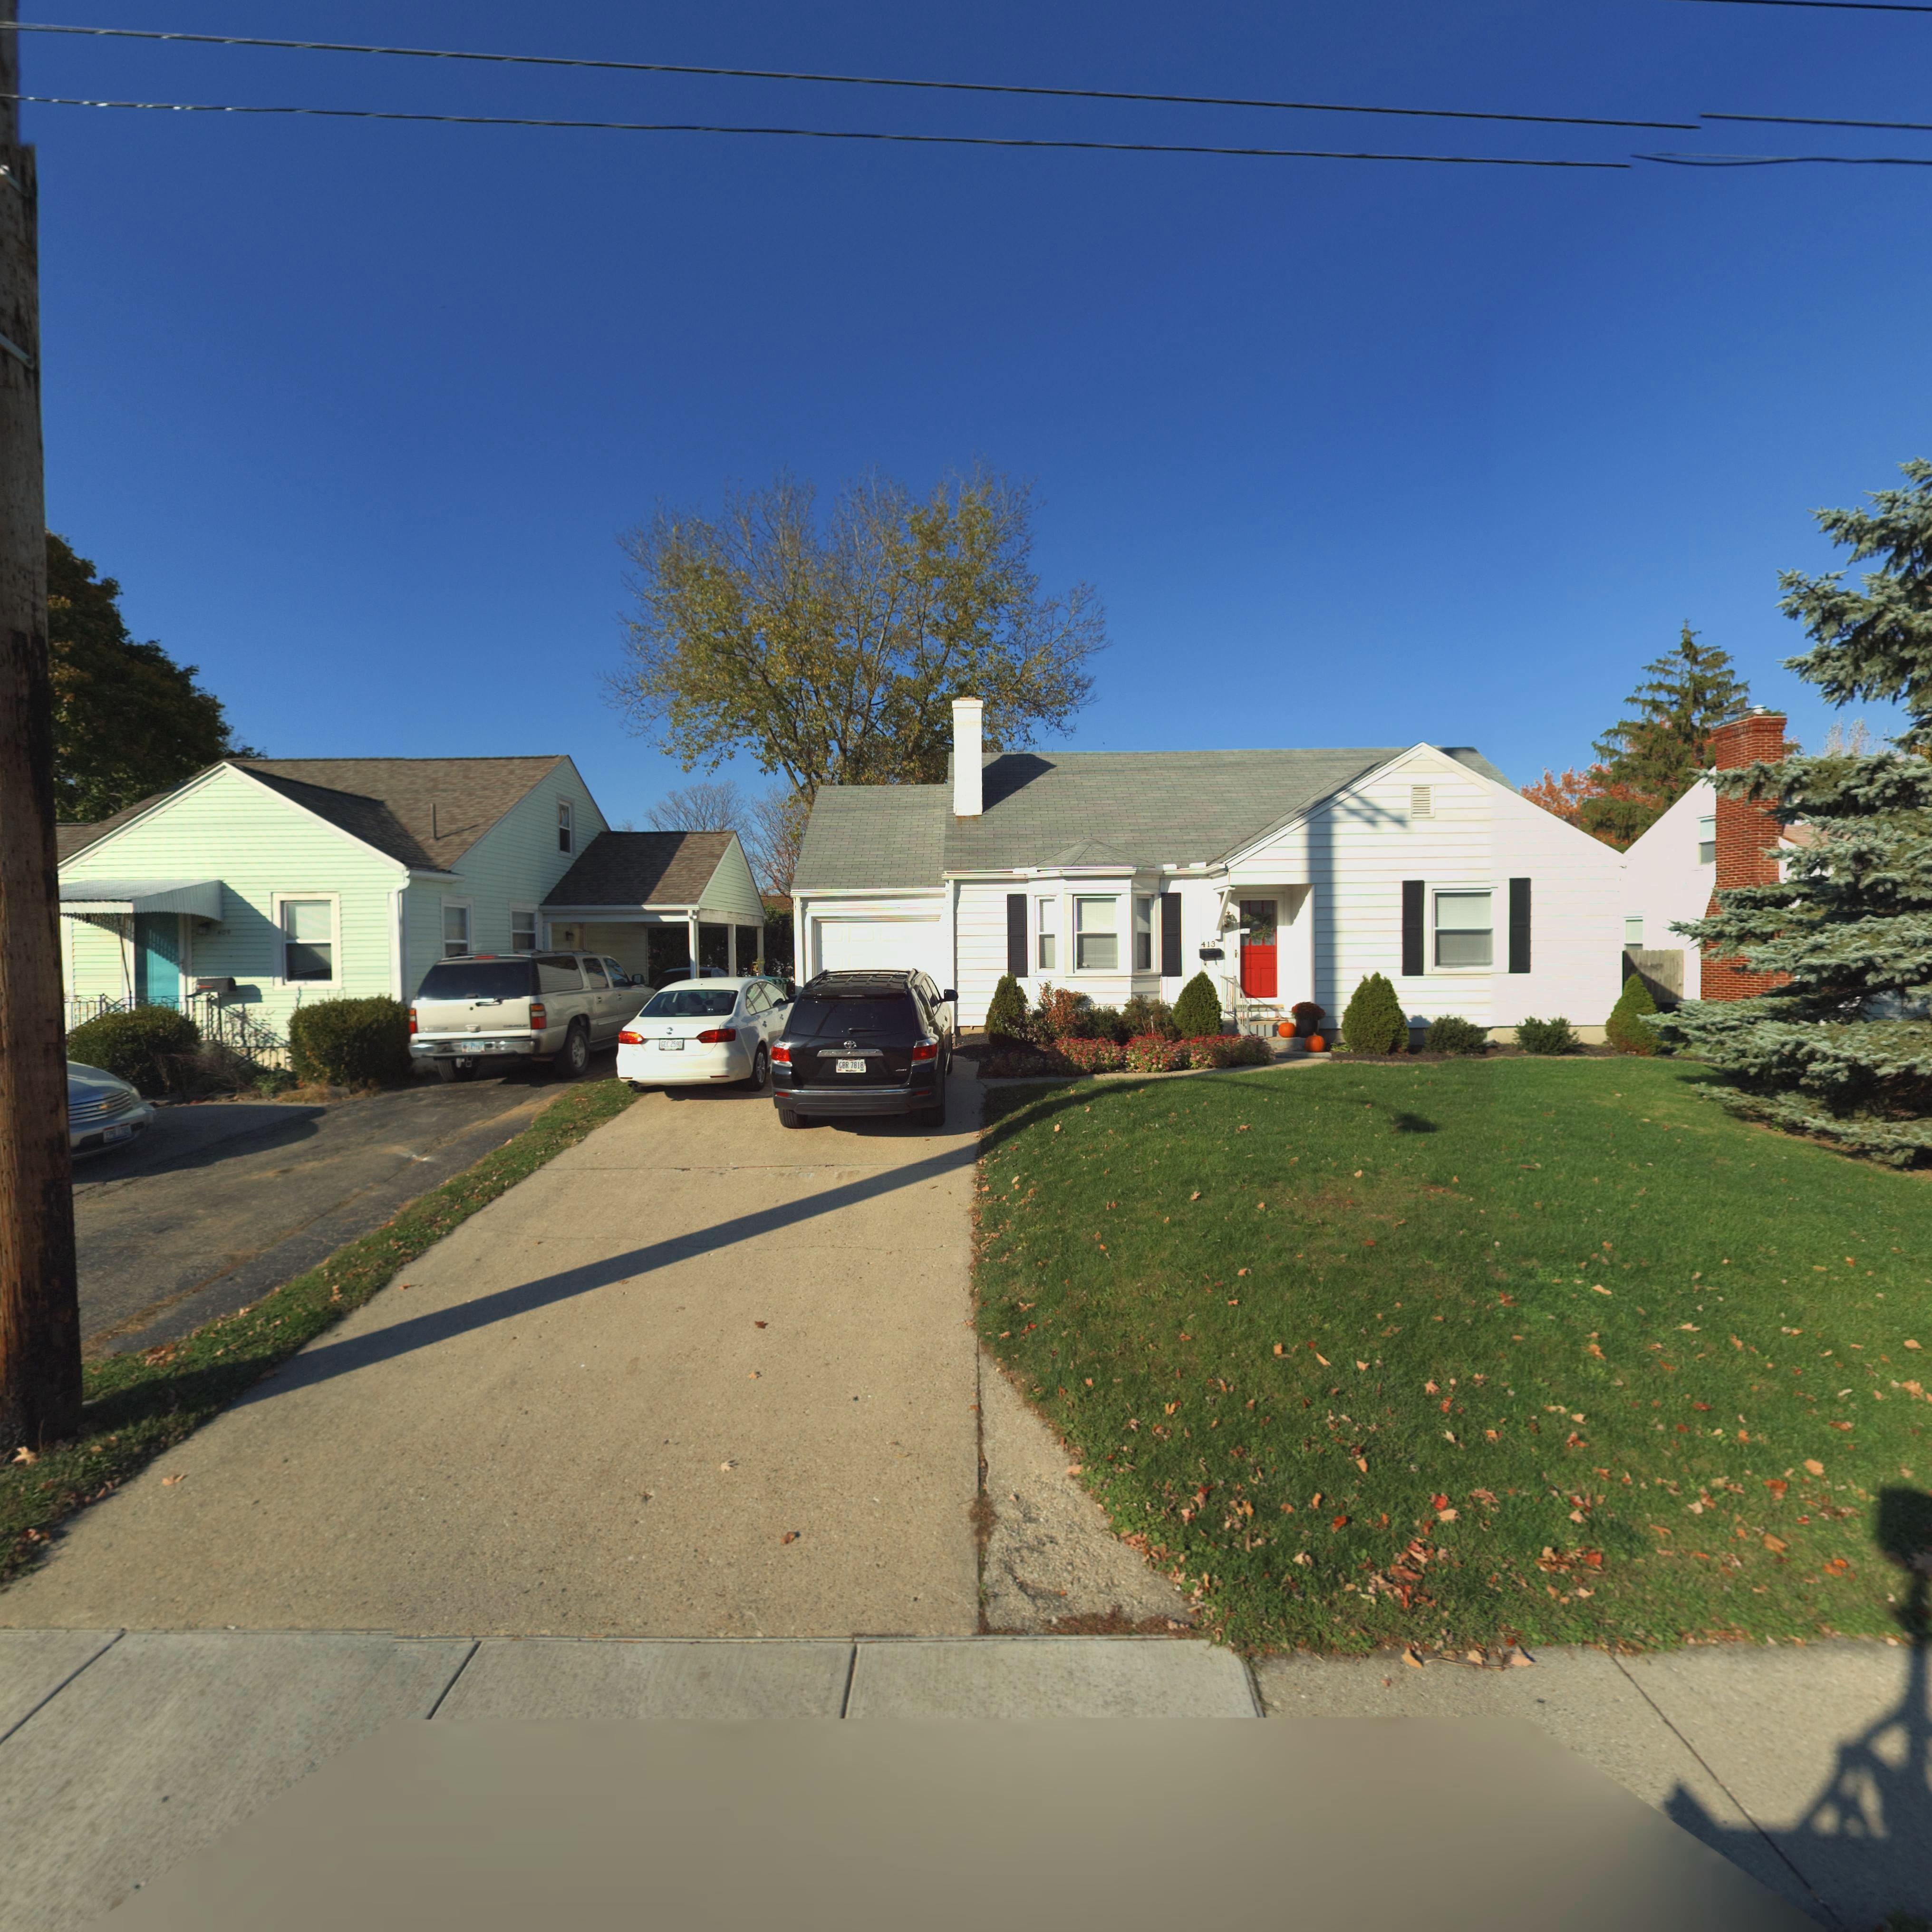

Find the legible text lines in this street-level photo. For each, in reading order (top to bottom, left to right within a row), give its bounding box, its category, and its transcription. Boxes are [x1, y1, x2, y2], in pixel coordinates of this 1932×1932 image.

[216, 929, 232, 936] StreetNumber: 409
[1200, 940, 1216, 948] StreetNumber: 413